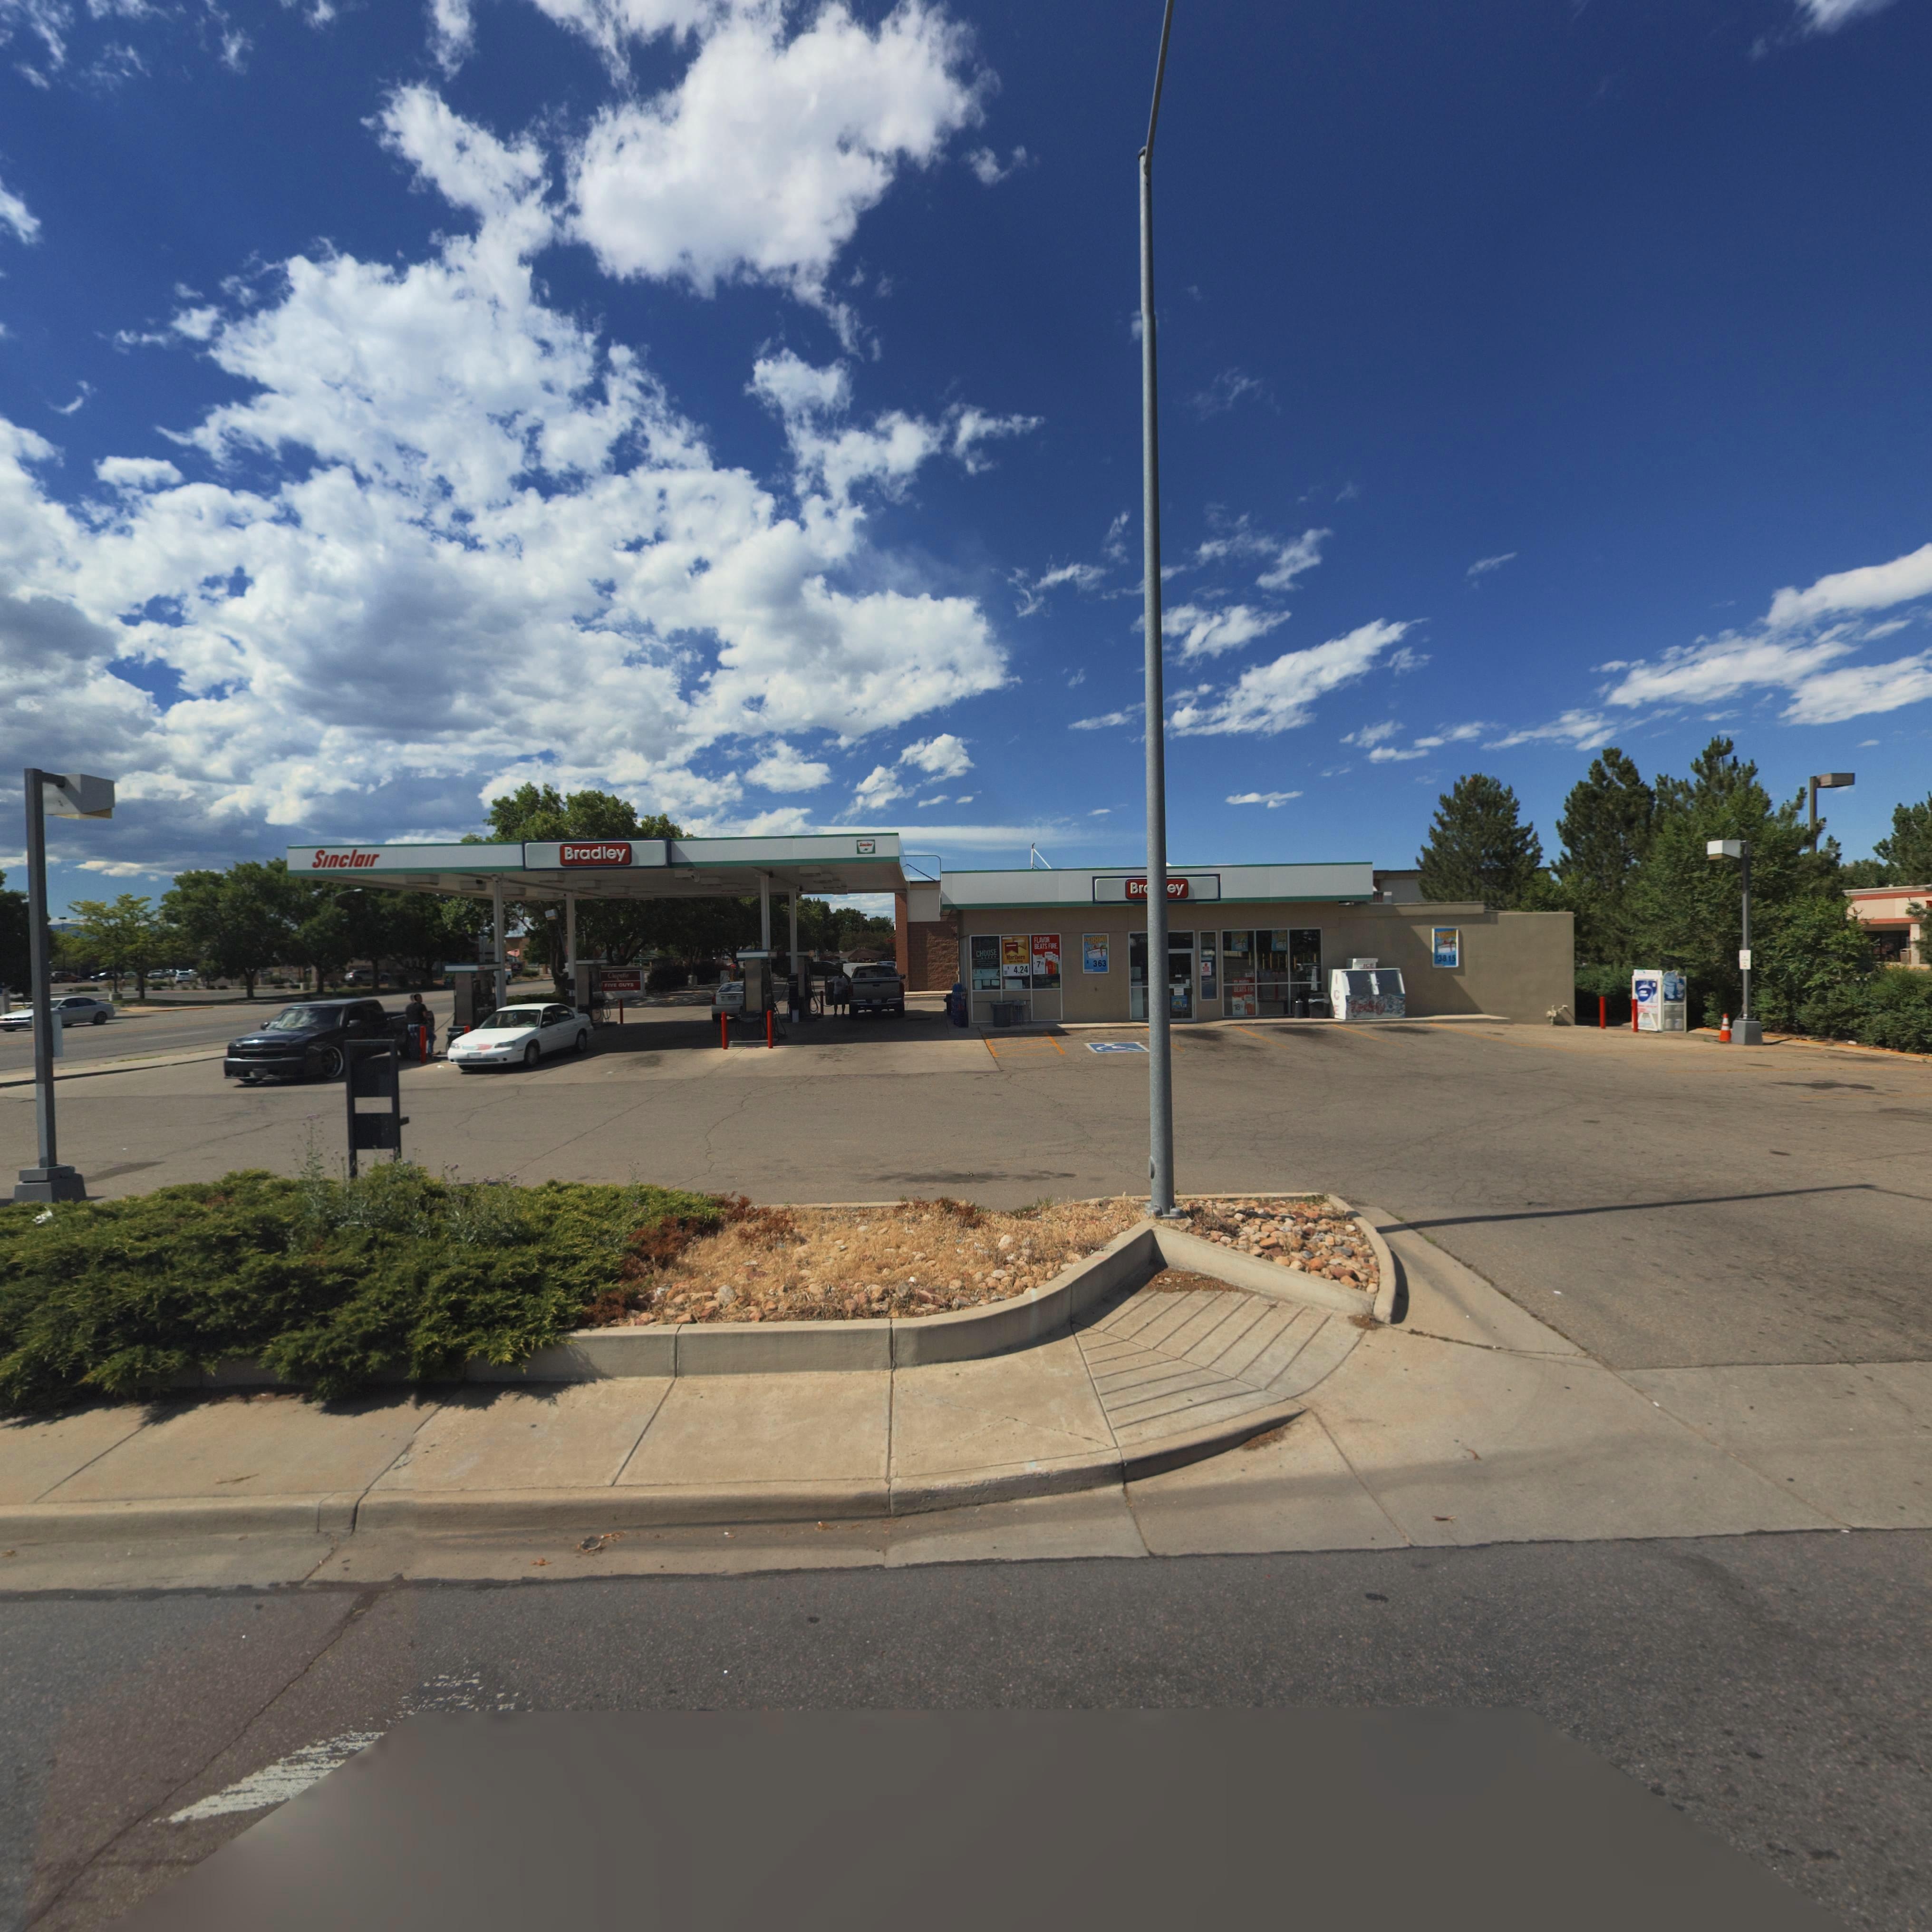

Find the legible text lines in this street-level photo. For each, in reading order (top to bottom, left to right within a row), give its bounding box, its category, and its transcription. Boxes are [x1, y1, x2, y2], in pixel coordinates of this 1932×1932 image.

[859, 842, 873, 847] BusinessName: S******r
[311, 848, 380, 868] BusinessName: Sinclair
[563, 845, 627, 862] BusinessName: Bradley
[1129, 880, 1186, 897] BusinessName: Br***ey
[607, 971, 630, 980] BusinessName: Chipotle
[604, 982, 634, 987] BusinessName: FIVE GUYS